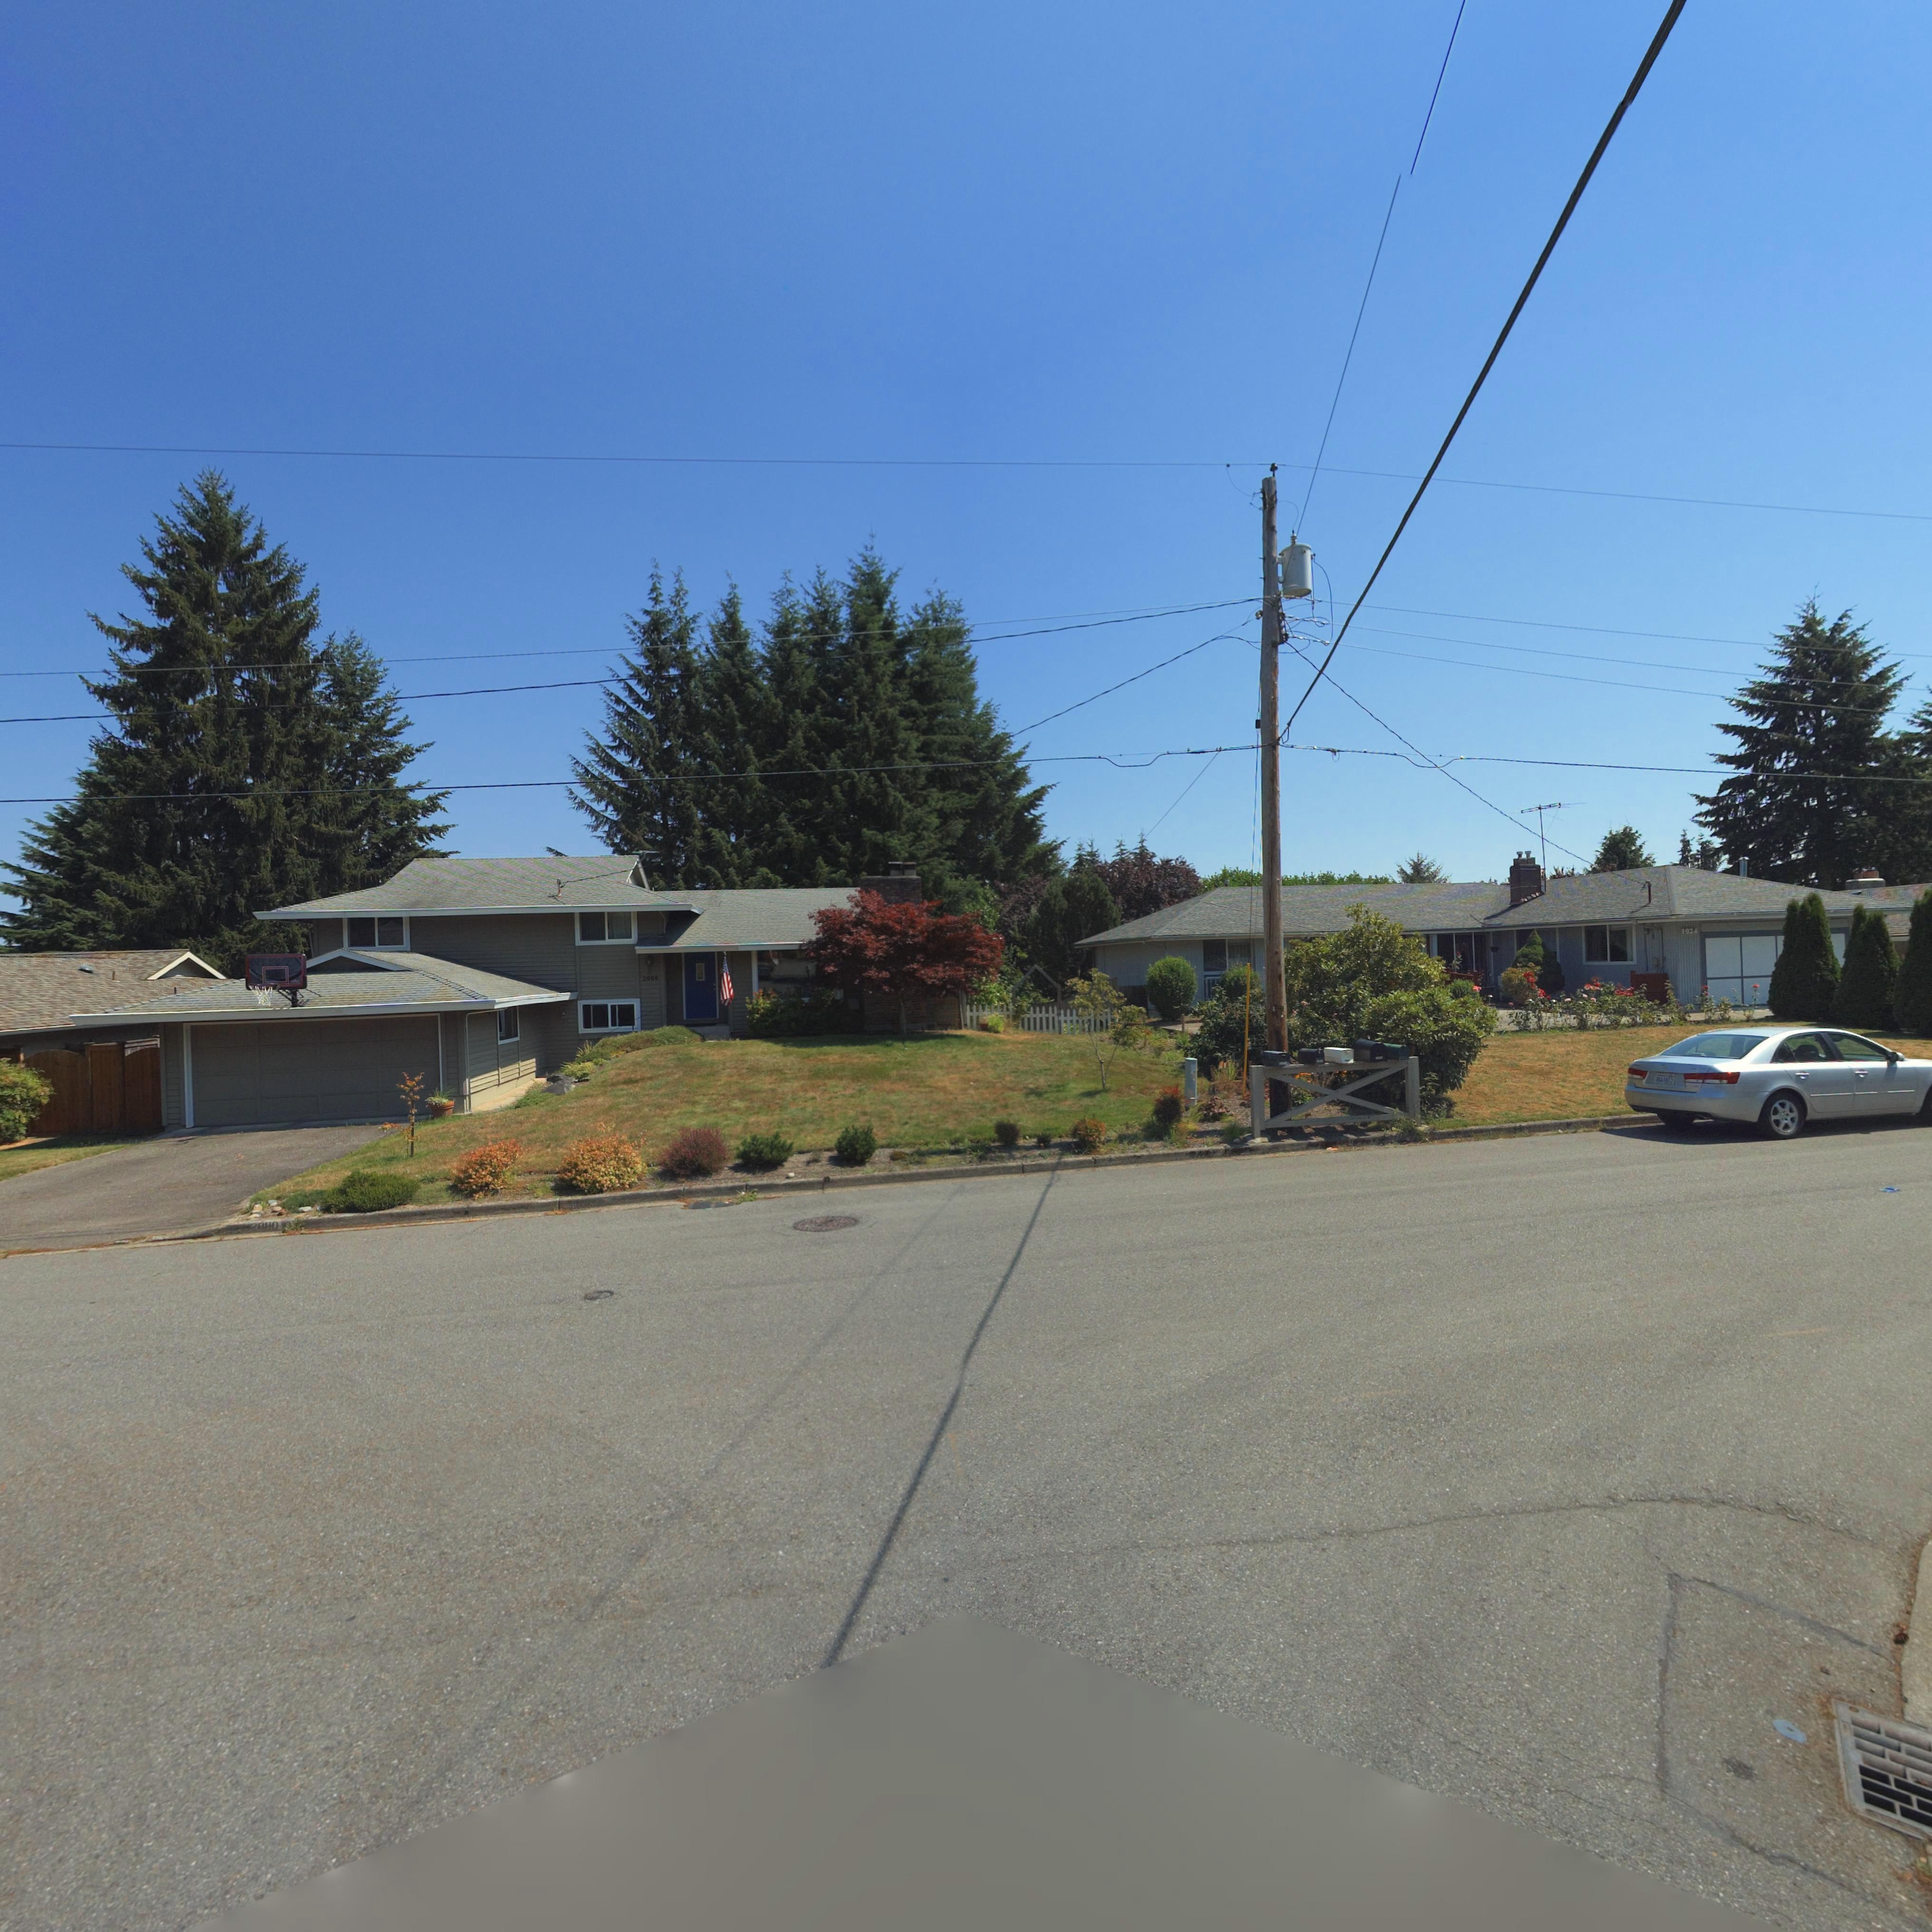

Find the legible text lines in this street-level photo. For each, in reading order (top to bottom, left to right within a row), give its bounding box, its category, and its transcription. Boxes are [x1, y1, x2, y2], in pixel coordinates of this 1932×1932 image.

[1681, 927, 1698, 935] StreetNumber: 1924
[642, 975, 658, 981] StreetNumber: 2000